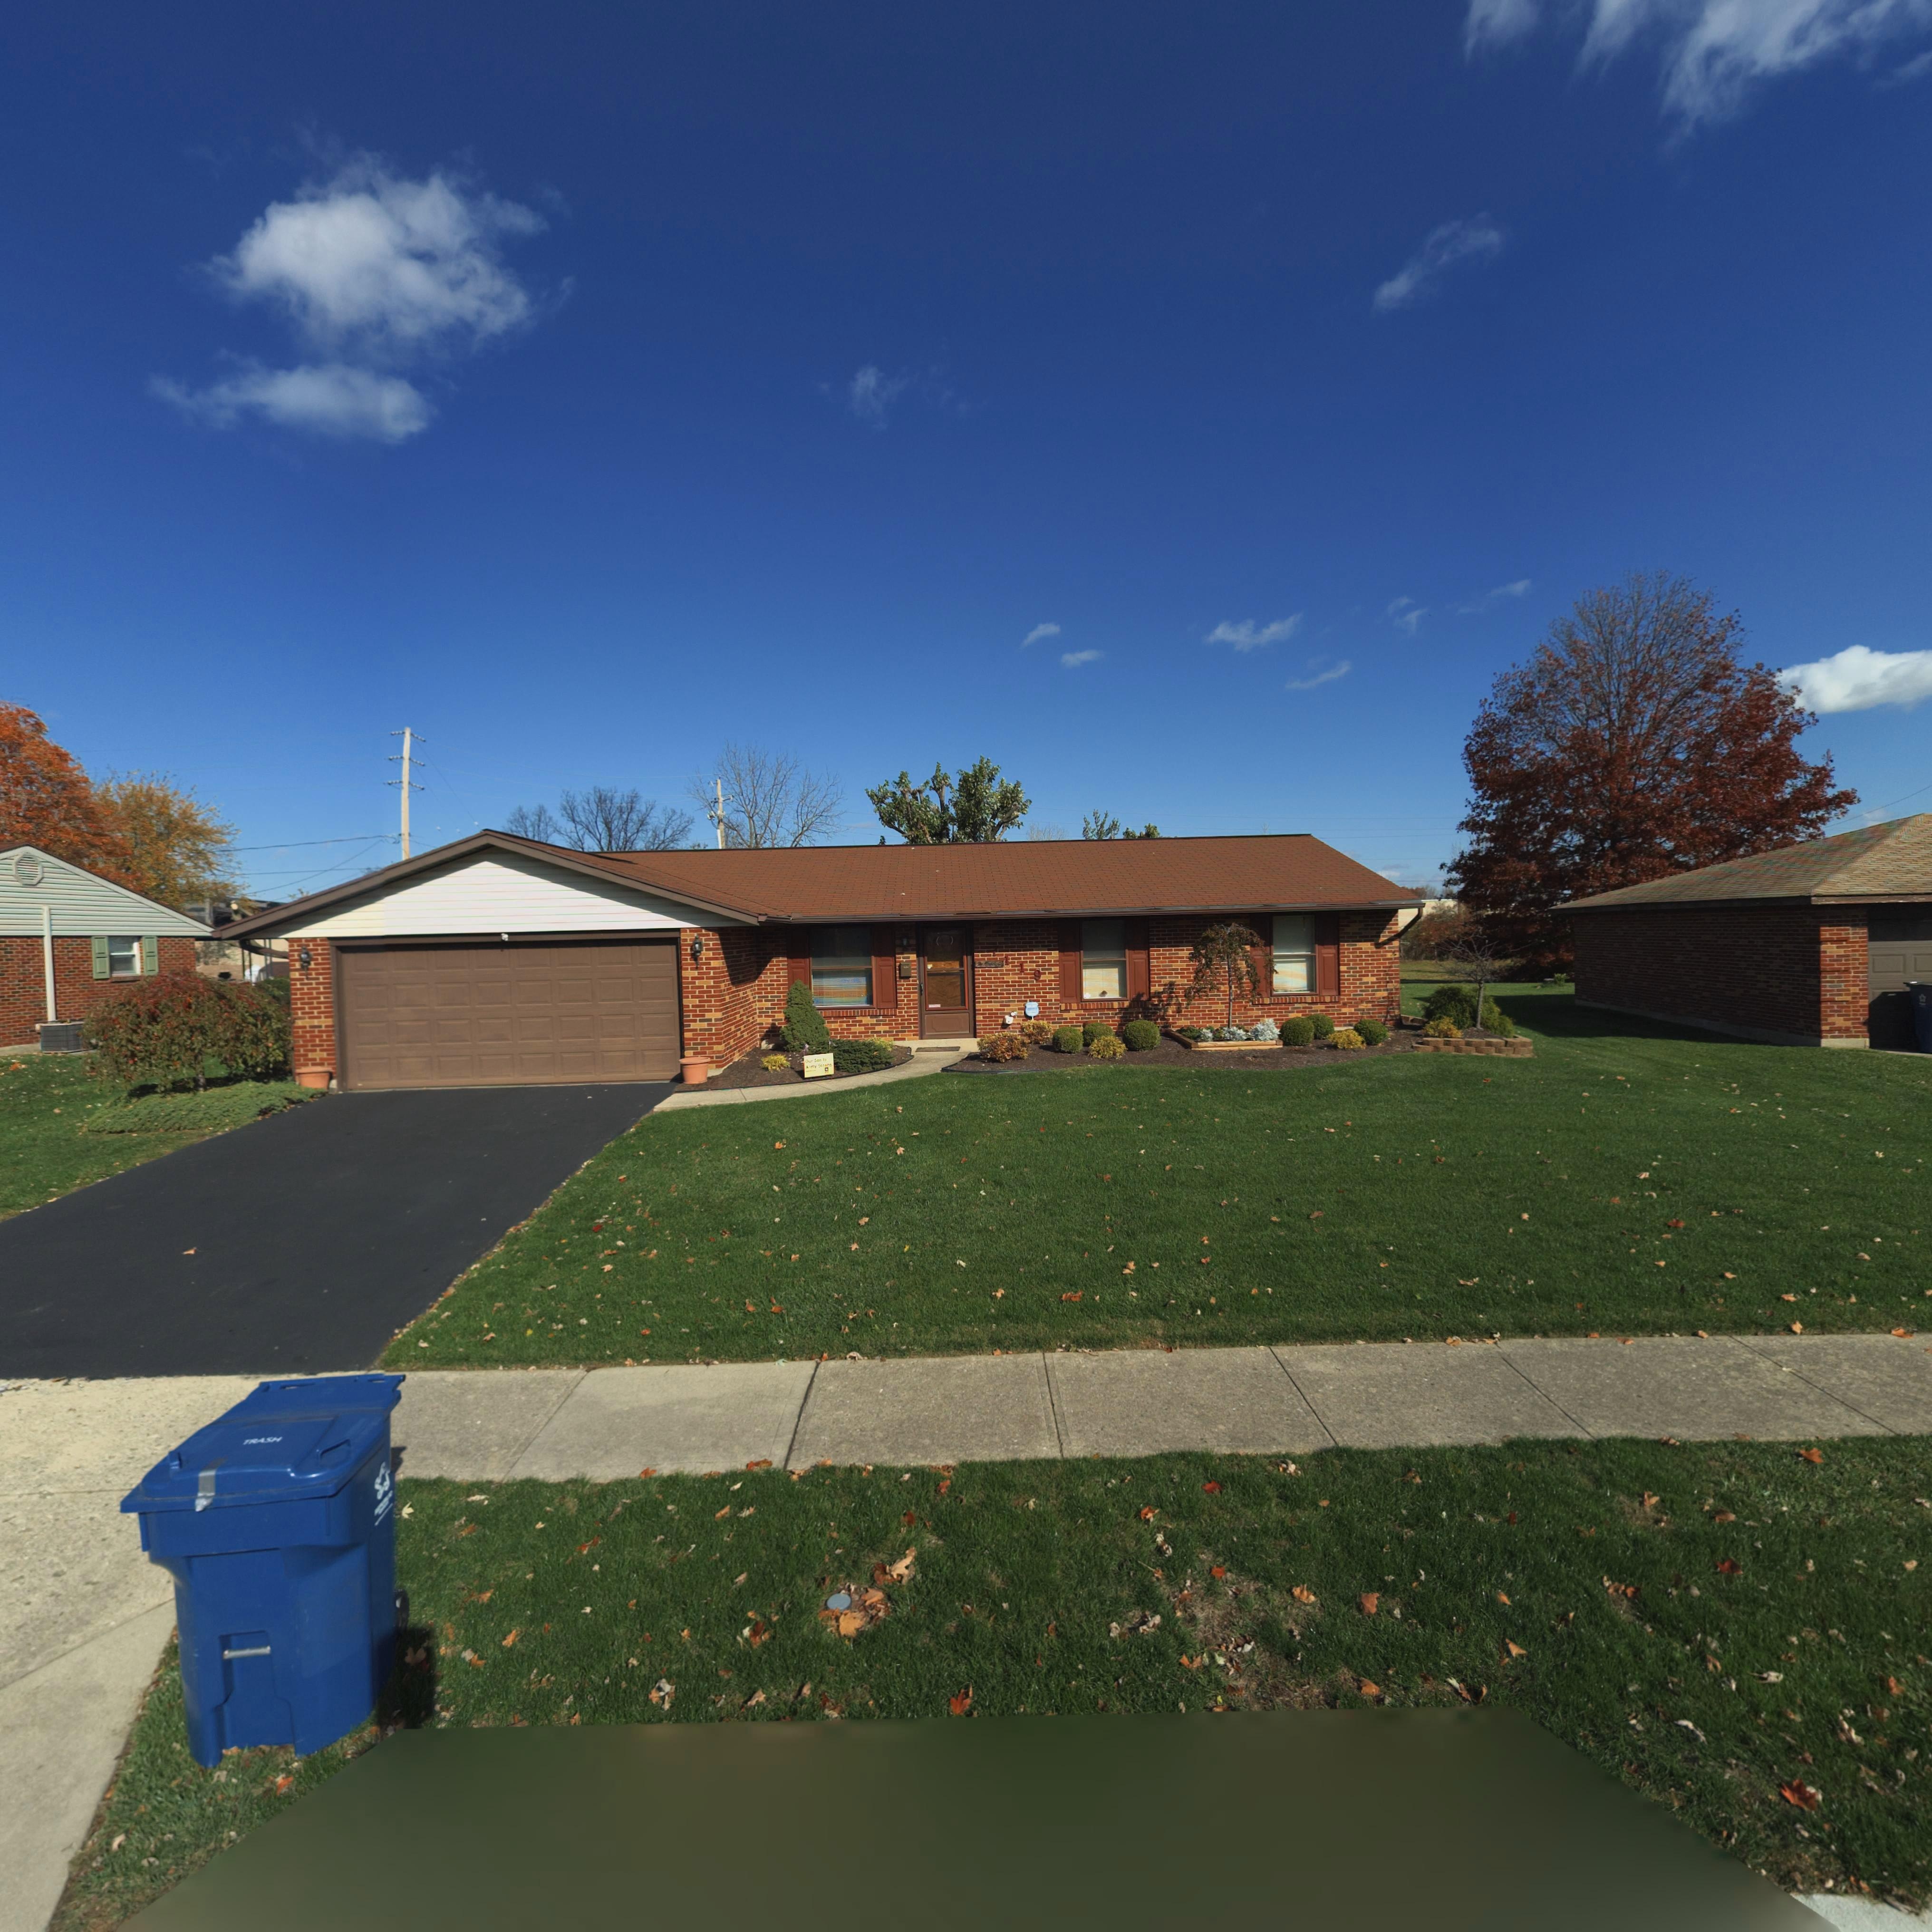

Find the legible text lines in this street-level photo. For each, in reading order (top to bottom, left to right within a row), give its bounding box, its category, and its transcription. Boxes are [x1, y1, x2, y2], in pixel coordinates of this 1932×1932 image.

[990, 946, 1042, 982] StreetNumber: 7119